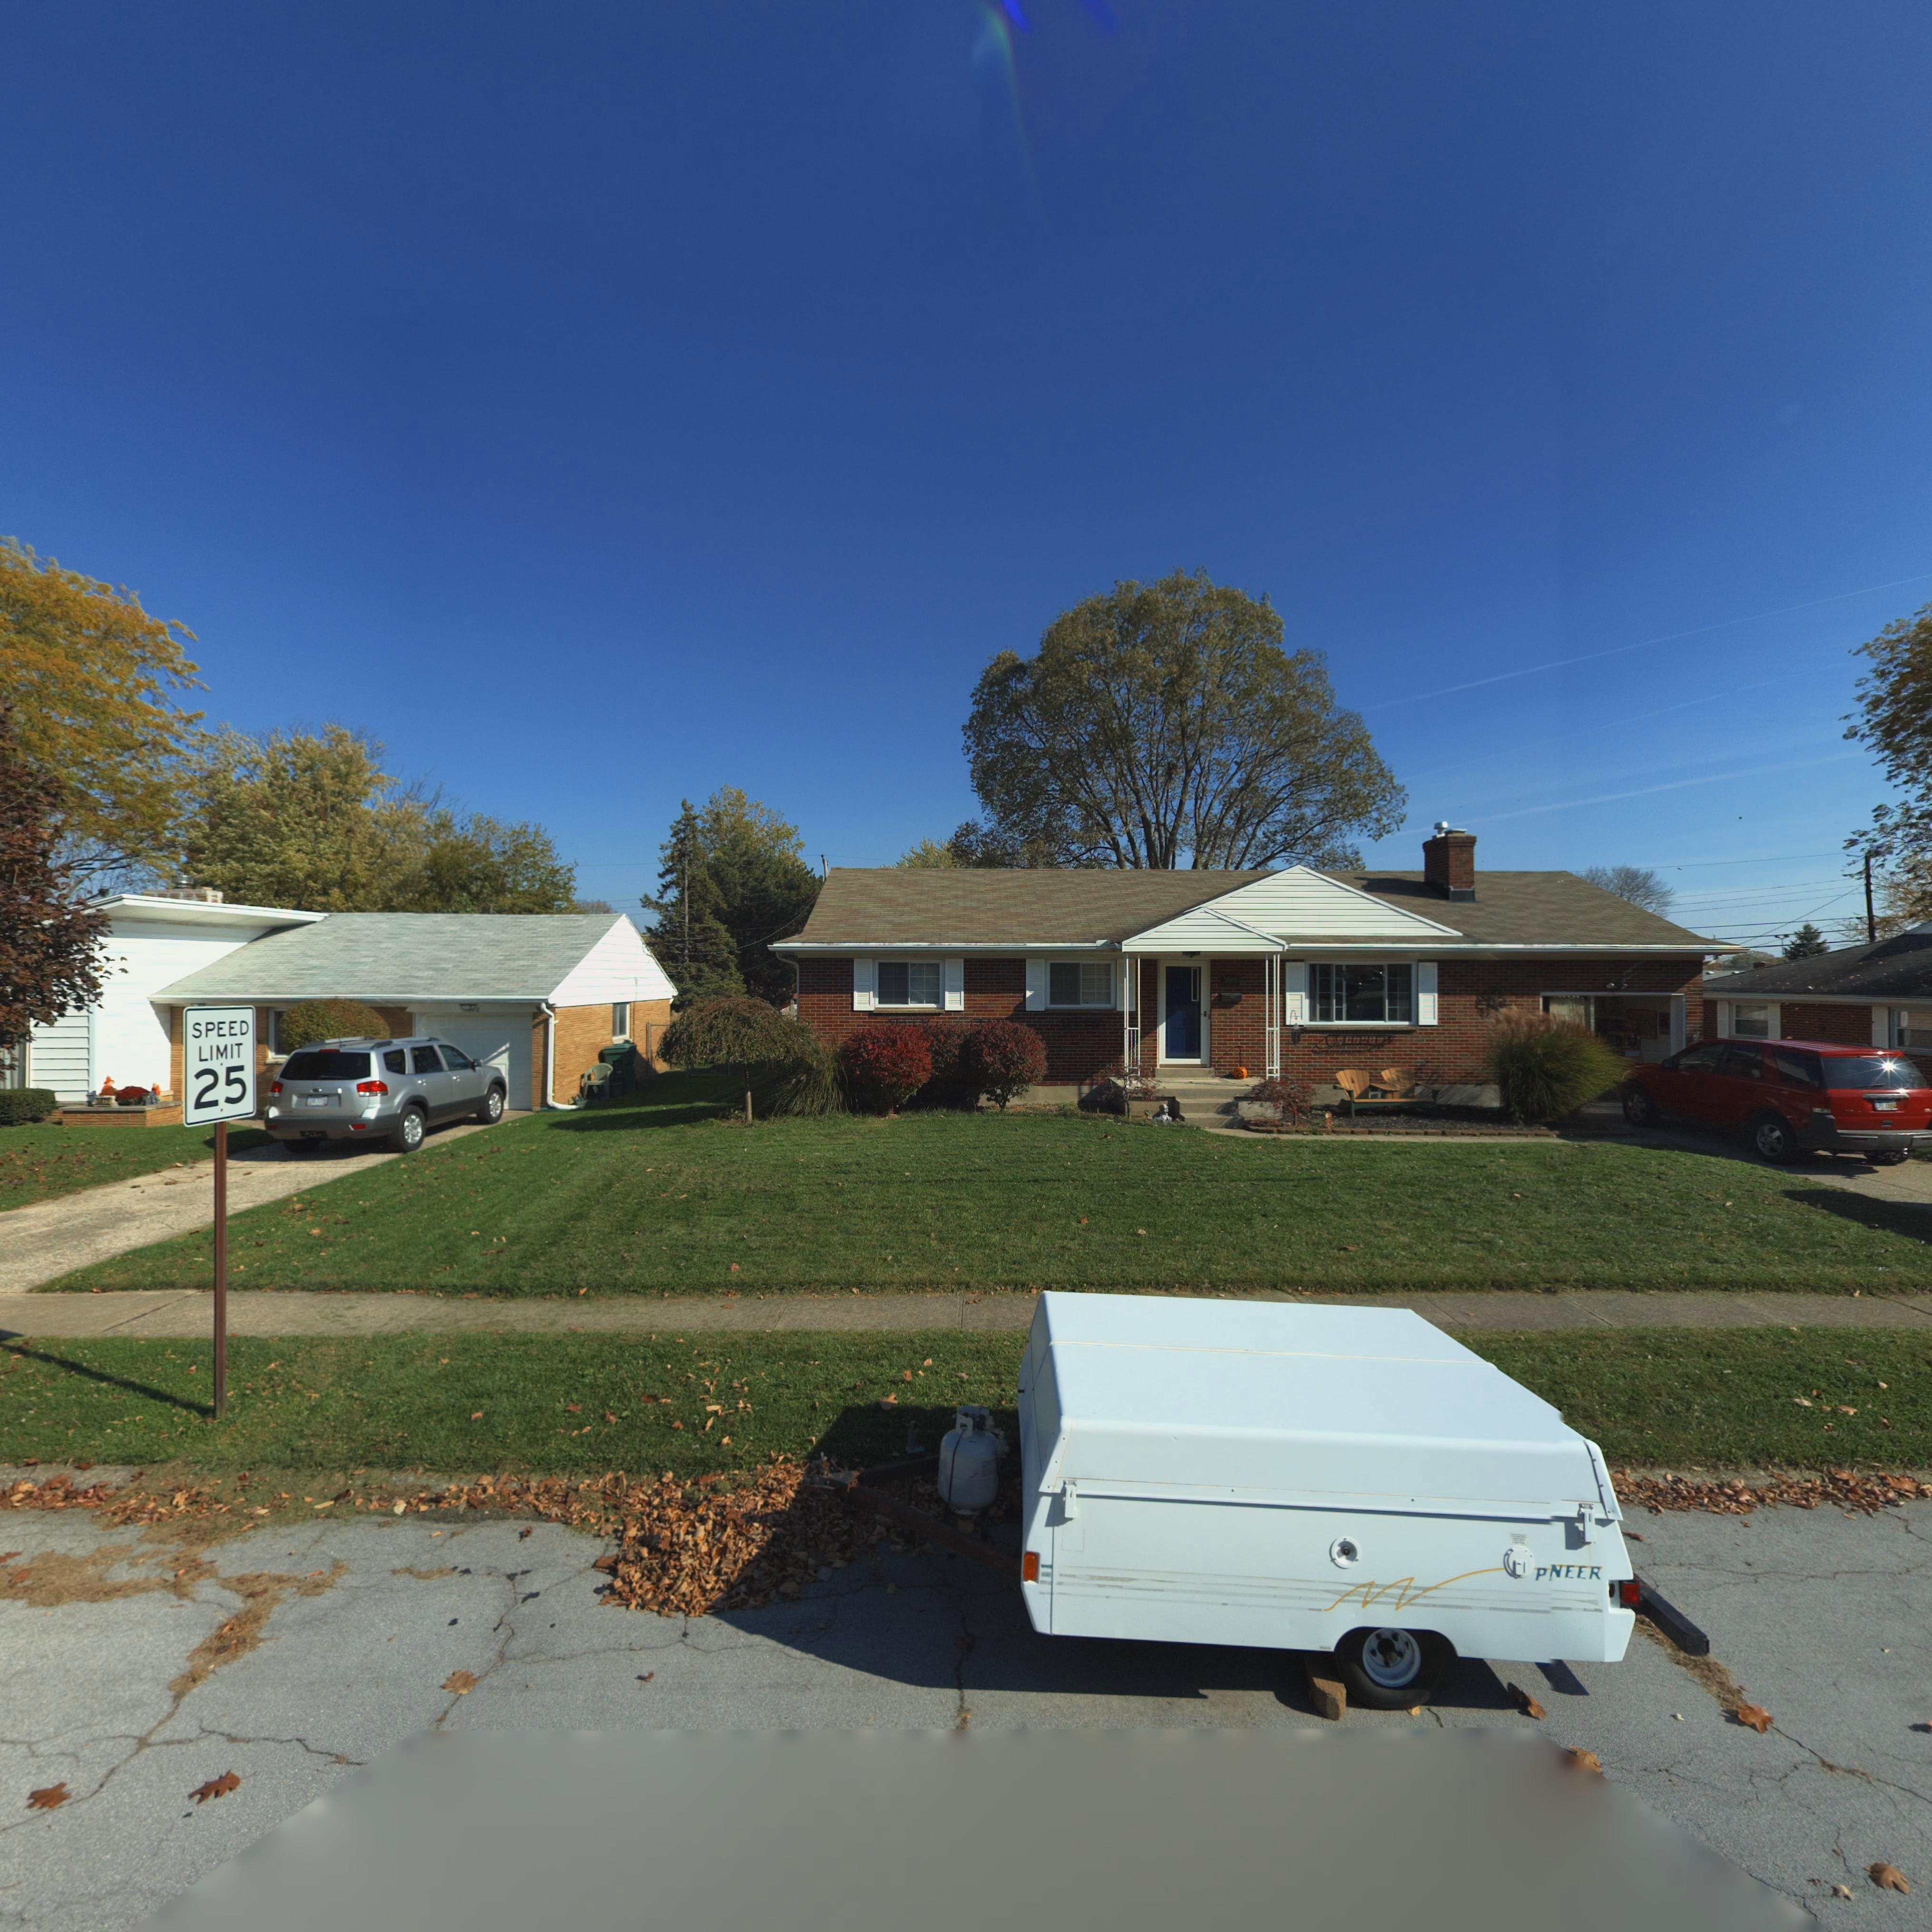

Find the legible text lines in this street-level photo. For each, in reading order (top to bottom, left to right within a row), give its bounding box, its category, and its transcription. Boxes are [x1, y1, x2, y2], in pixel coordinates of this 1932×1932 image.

[1222, 976, 1237, 983] StreetNumber: 3885
[192, 1019, 250, 1039] None: SPEED
[198, 1042, 243, 1062] None: LIMIT
[193, 1064, 247, 1111] None: 25
[1534, 1563, 1603, 1582] None: PNEER